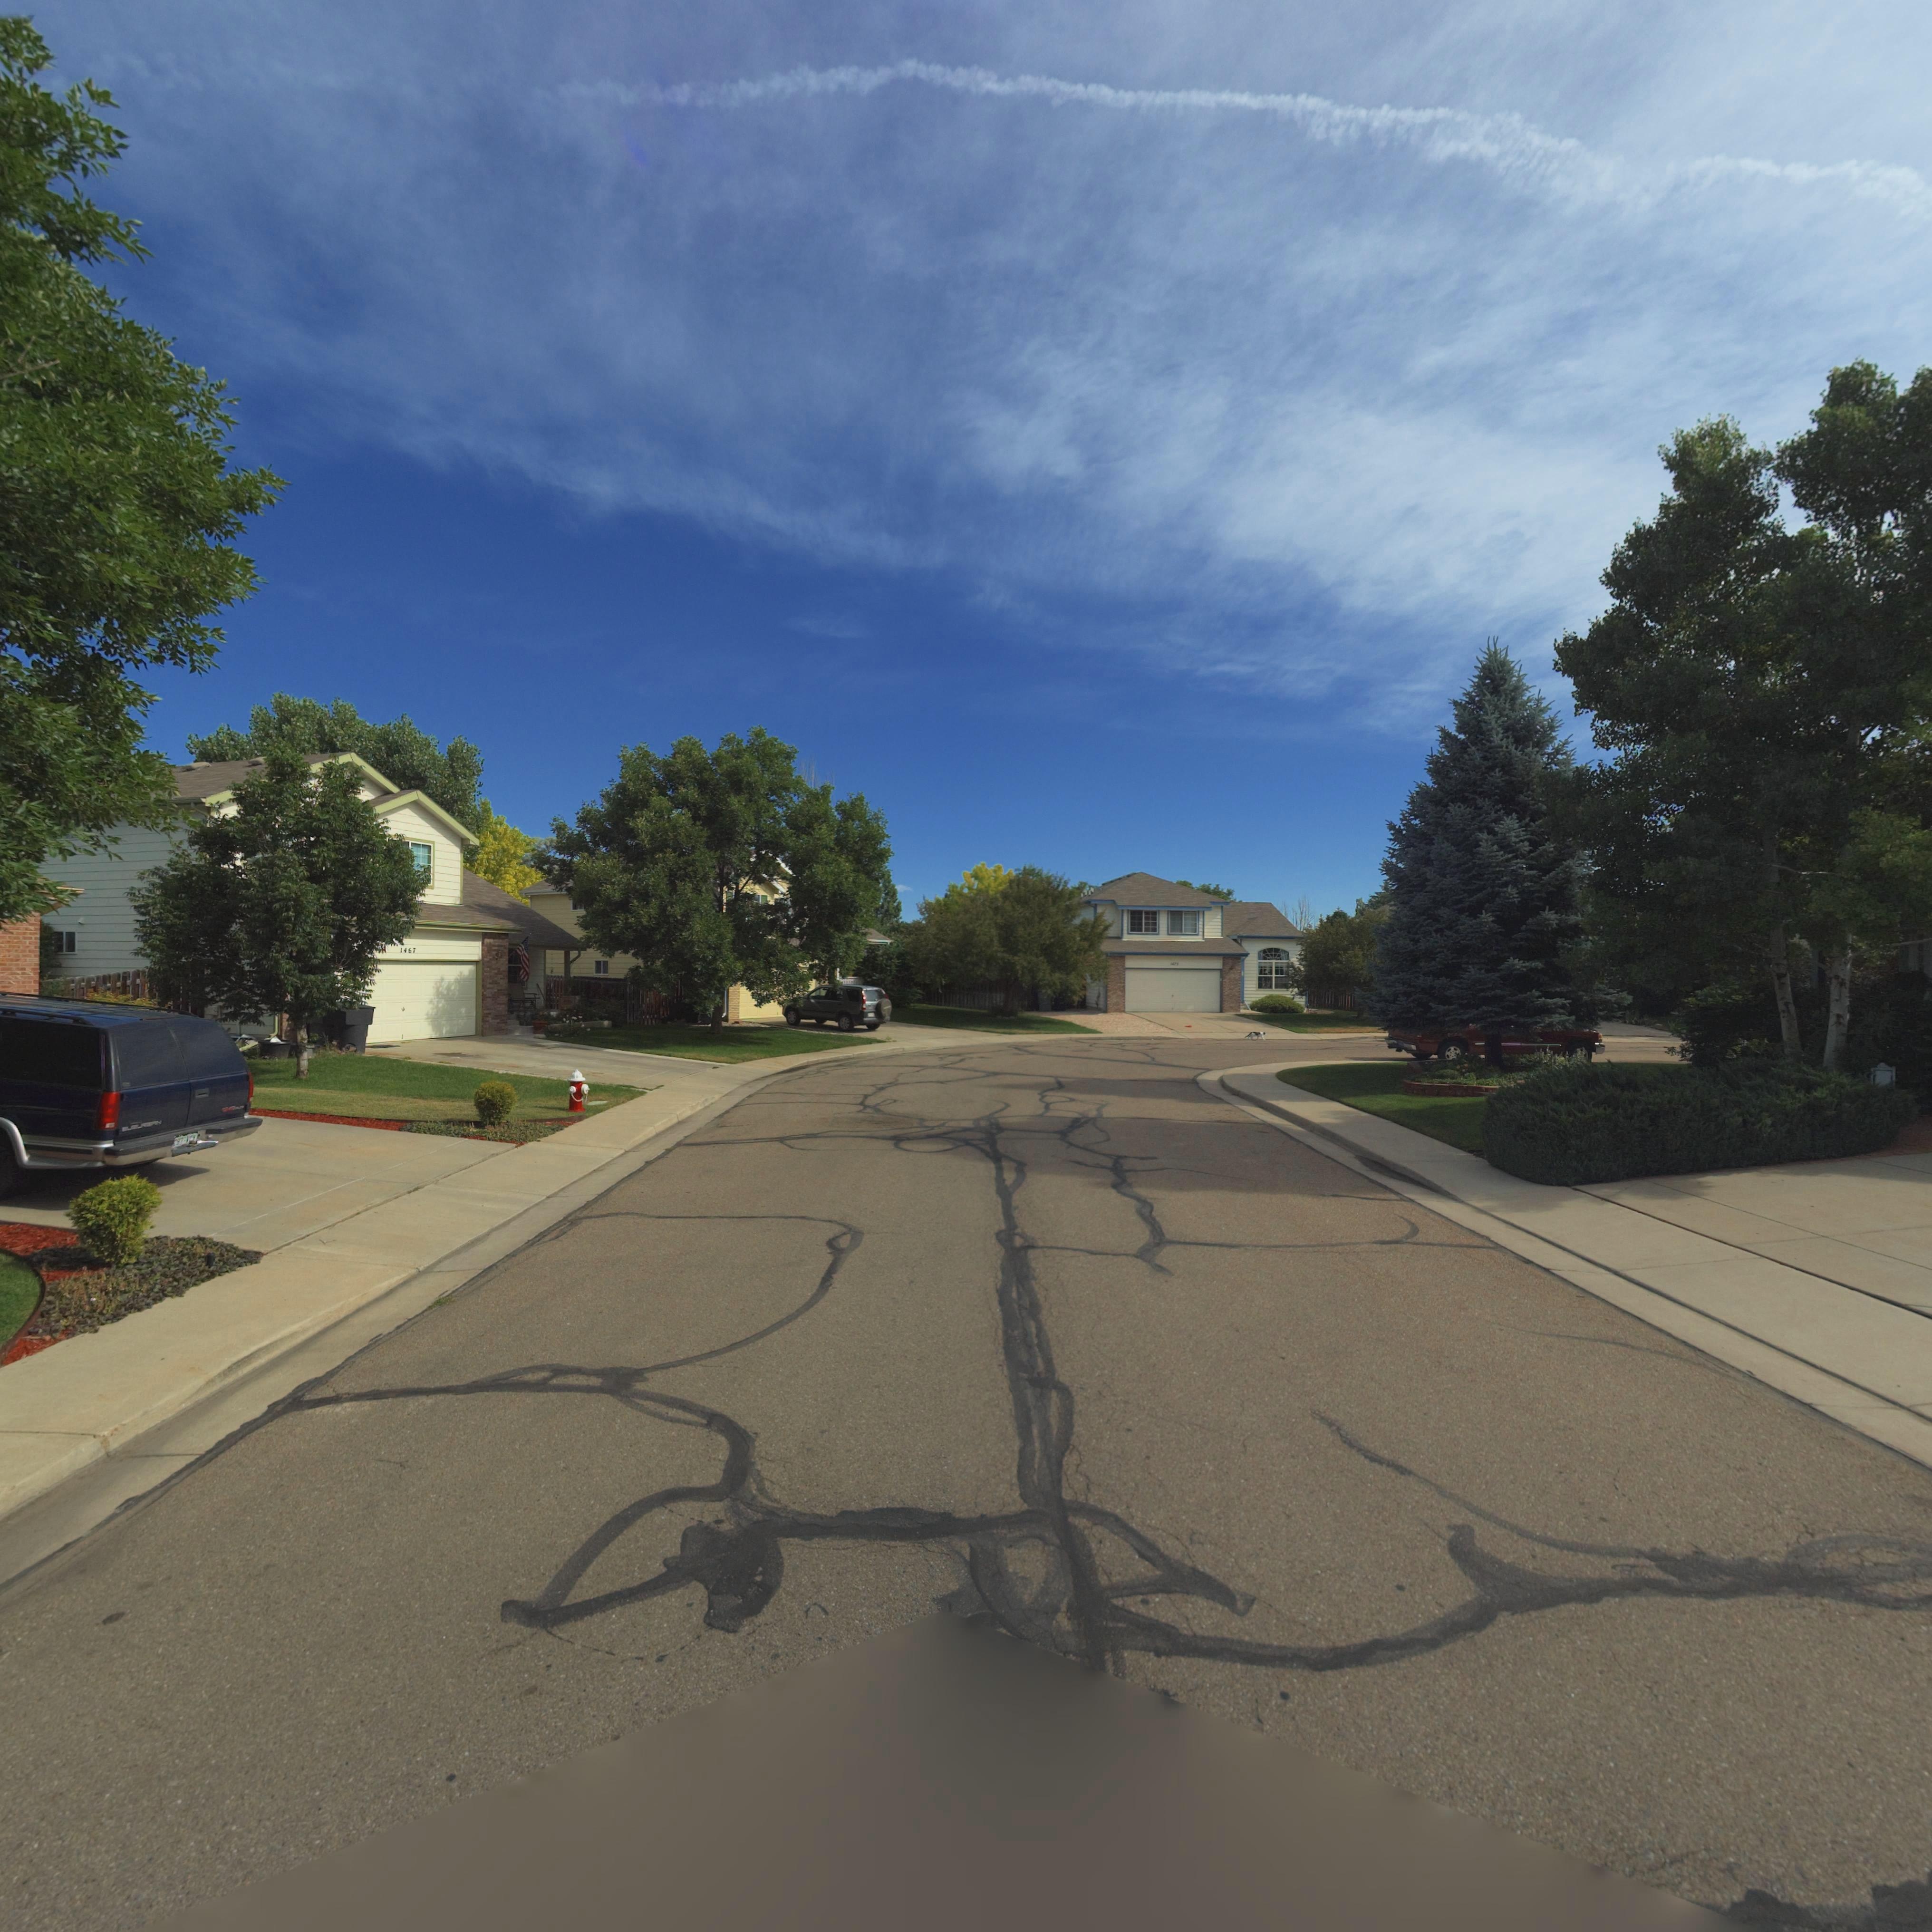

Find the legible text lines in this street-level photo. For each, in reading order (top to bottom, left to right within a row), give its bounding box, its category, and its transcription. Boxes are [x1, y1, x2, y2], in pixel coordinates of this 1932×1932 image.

[400, 947, 416, 954] StreetNumber: 1467
[1169, 962, 1179, 966] StreetNumber: 1475